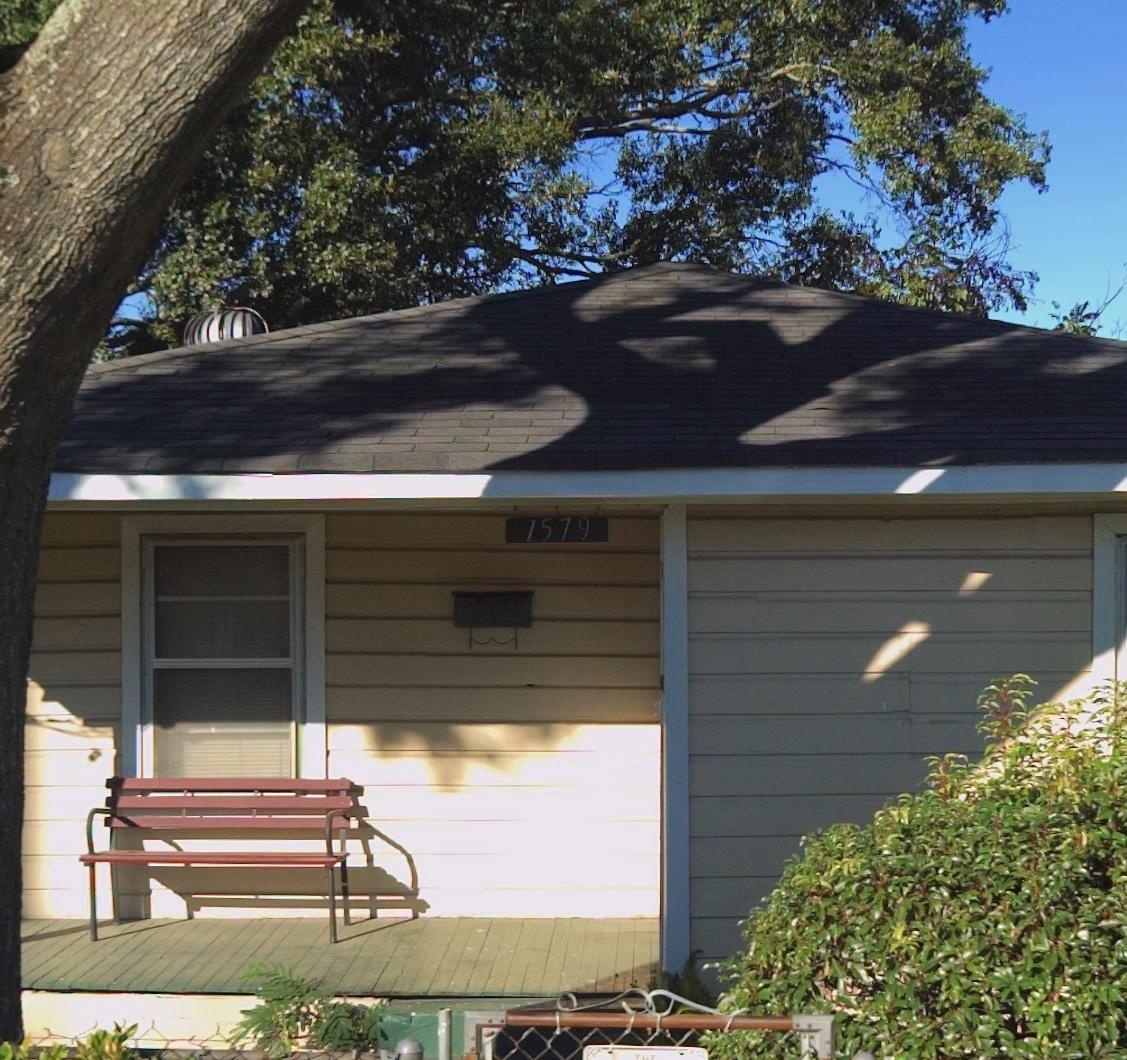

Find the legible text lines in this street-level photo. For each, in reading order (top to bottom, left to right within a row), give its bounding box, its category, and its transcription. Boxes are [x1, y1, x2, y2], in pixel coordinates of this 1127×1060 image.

[523, 513, 592, 545] StreetNumber: 1579